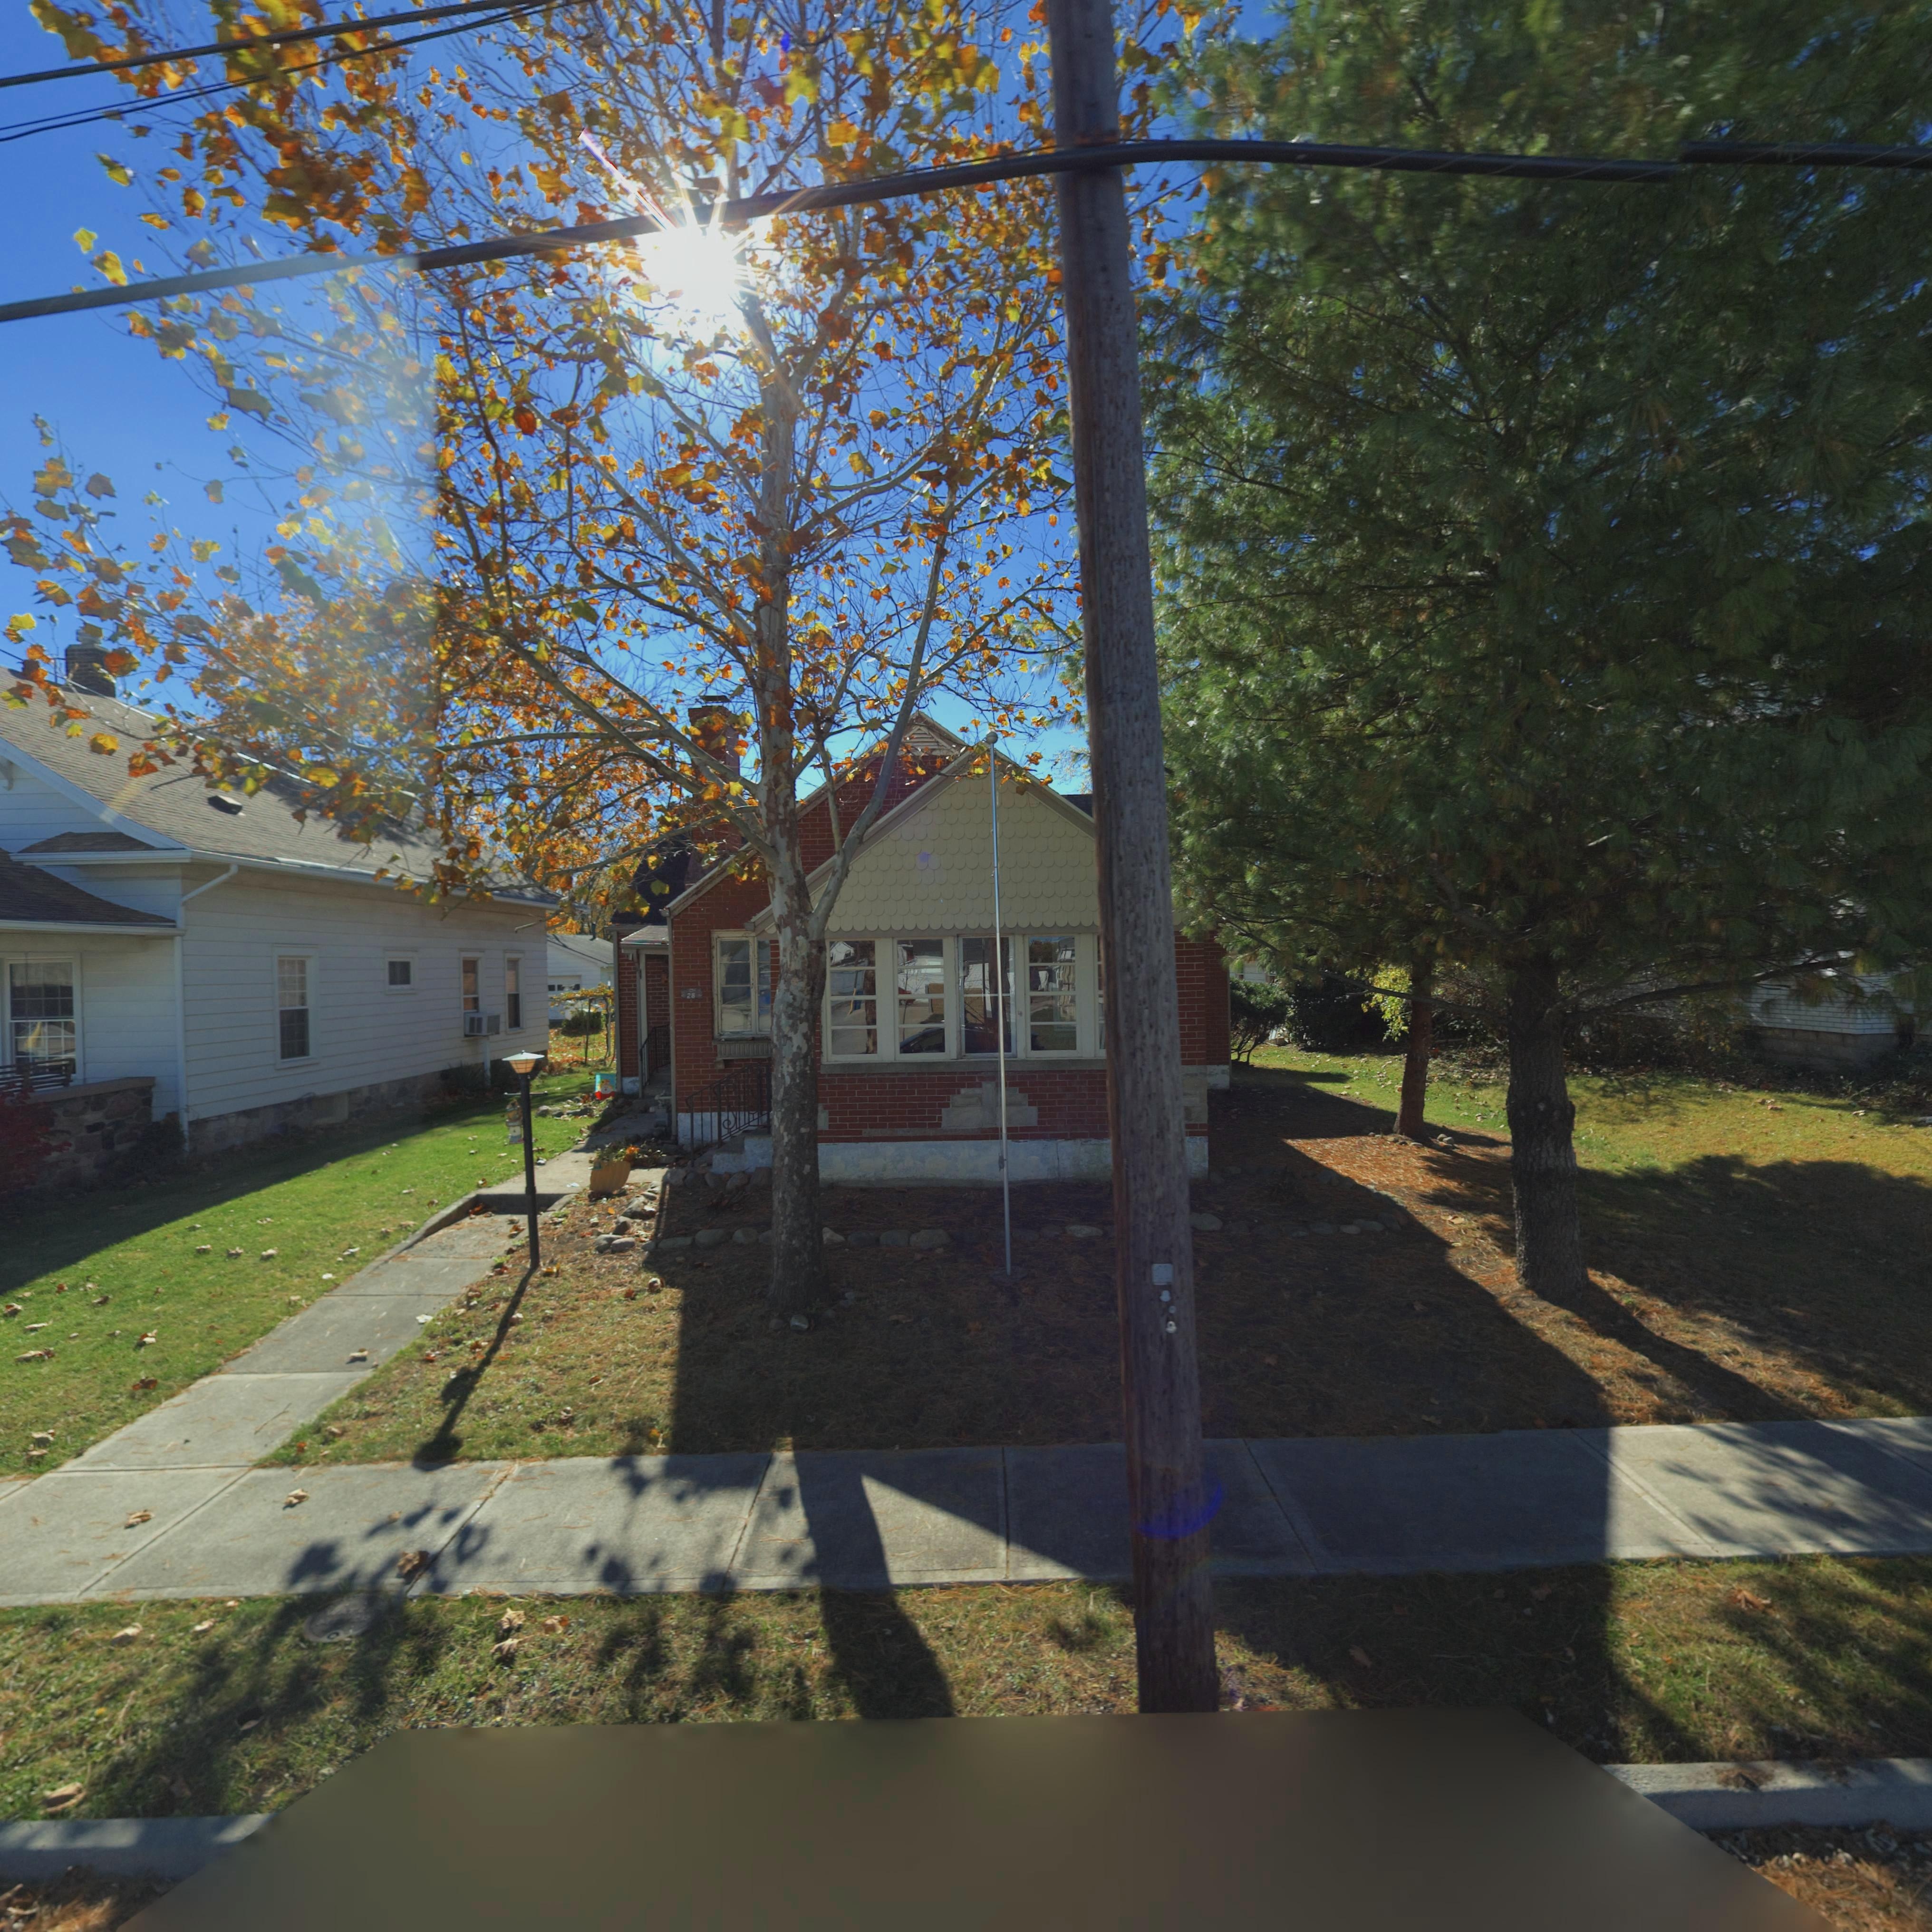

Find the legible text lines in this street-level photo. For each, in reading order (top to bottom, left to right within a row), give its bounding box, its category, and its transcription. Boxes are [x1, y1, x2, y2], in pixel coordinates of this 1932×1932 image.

[686, 992, 696, 999] StreetNumber: 28